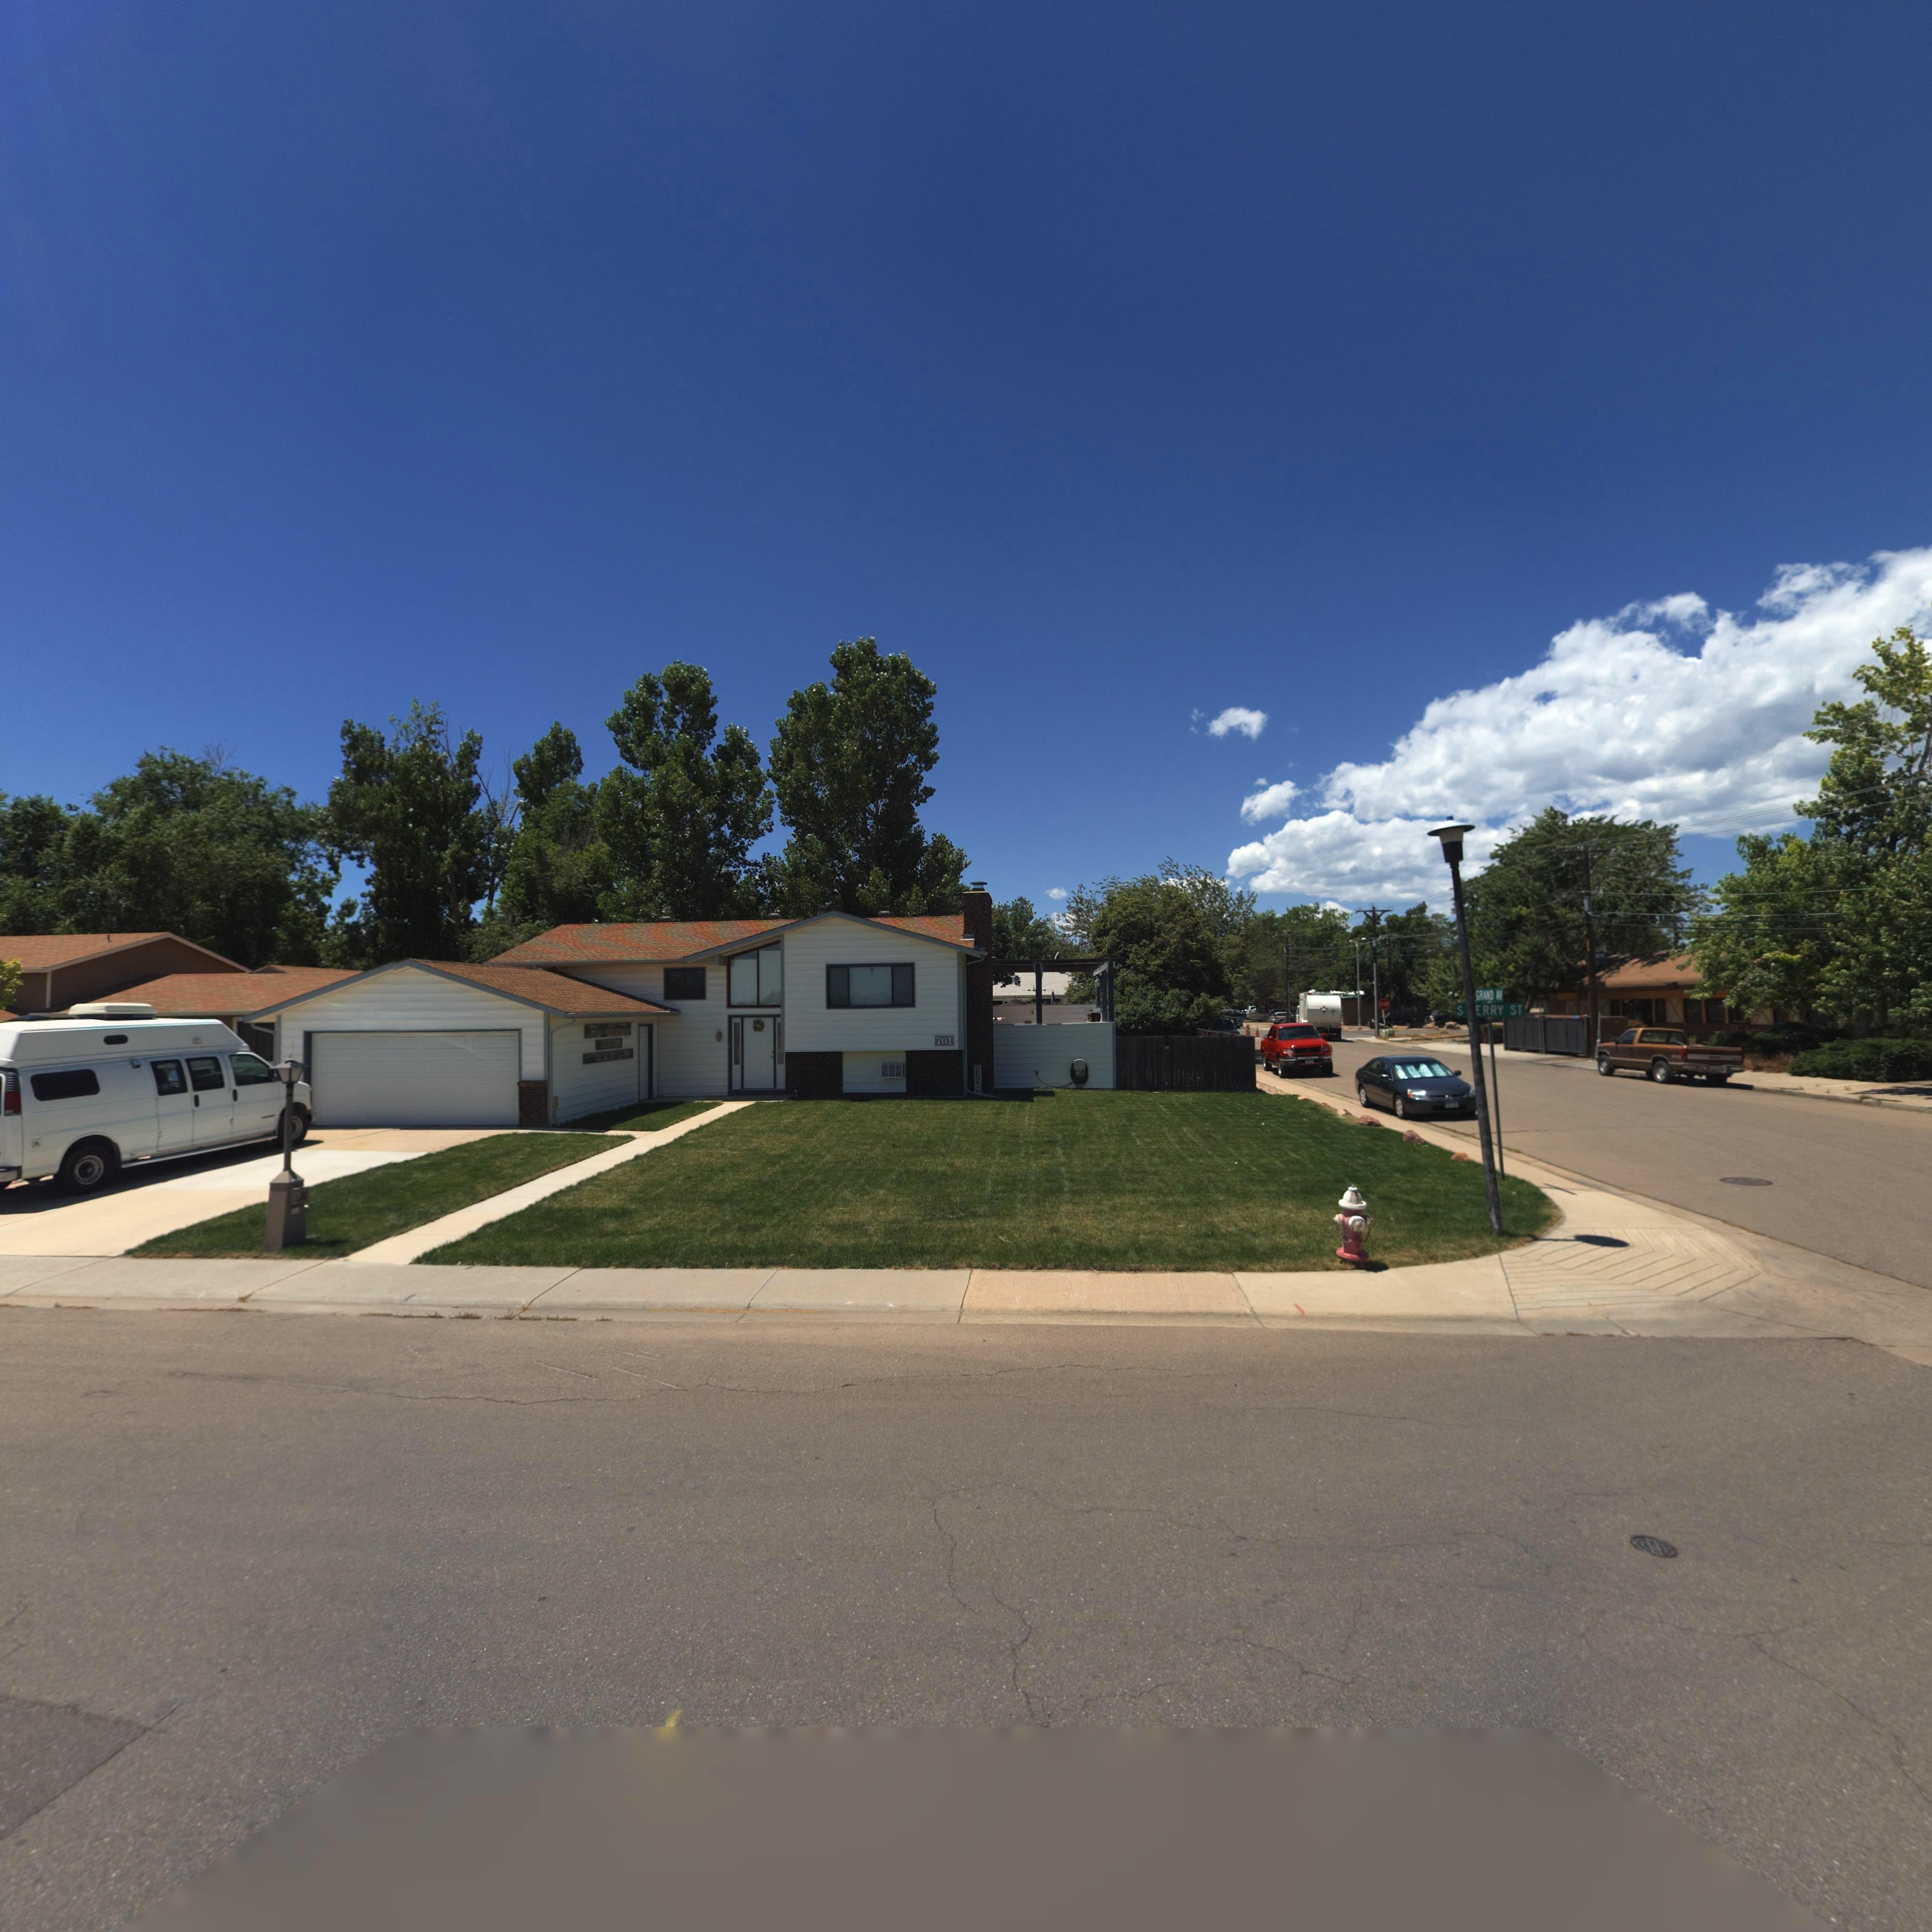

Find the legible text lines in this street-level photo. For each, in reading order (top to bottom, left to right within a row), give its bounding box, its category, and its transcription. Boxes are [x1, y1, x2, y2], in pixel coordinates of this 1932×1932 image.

[1475, 988, 1504, 1001] StreetName: GRAND AV
[1456, 1003, 1524, 1016] StreetName: S *ERRY ST
[936, 1036, 953, 1045] StreetNumber: 701